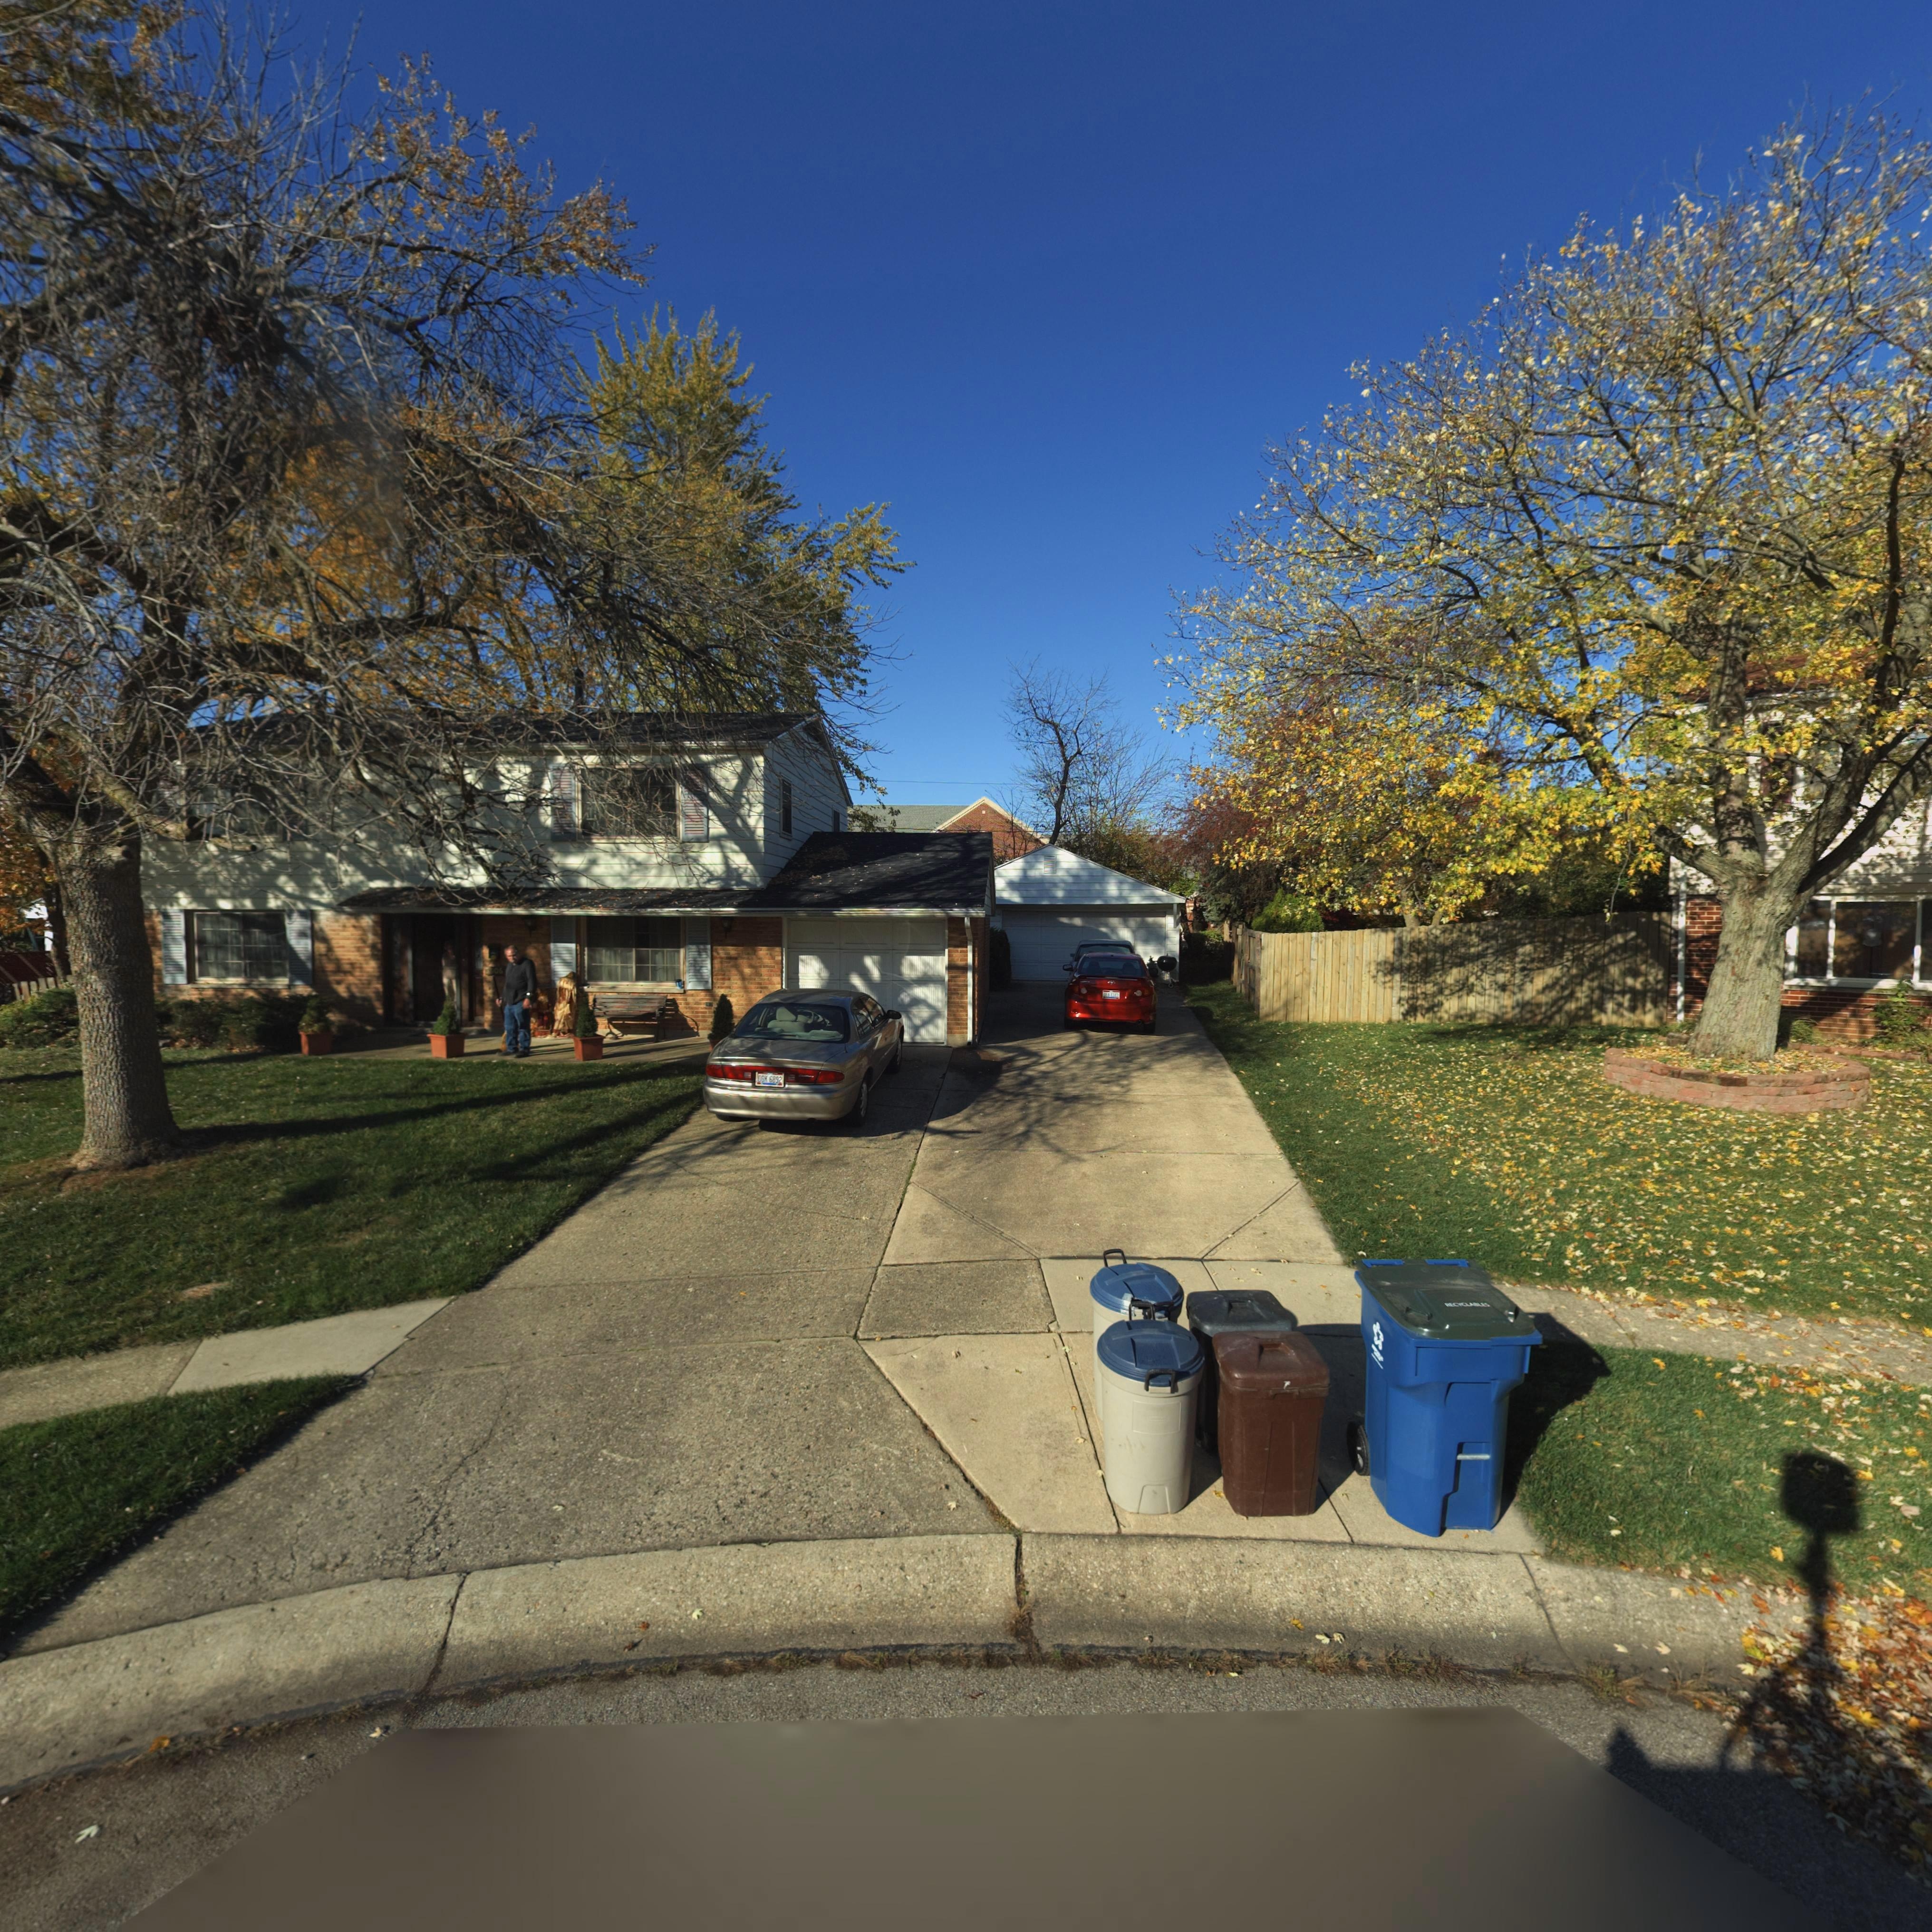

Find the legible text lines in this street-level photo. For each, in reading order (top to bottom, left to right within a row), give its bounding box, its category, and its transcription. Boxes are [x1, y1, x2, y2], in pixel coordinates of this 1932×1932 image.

[484, 966, 505, 977] StreetNumber: **06